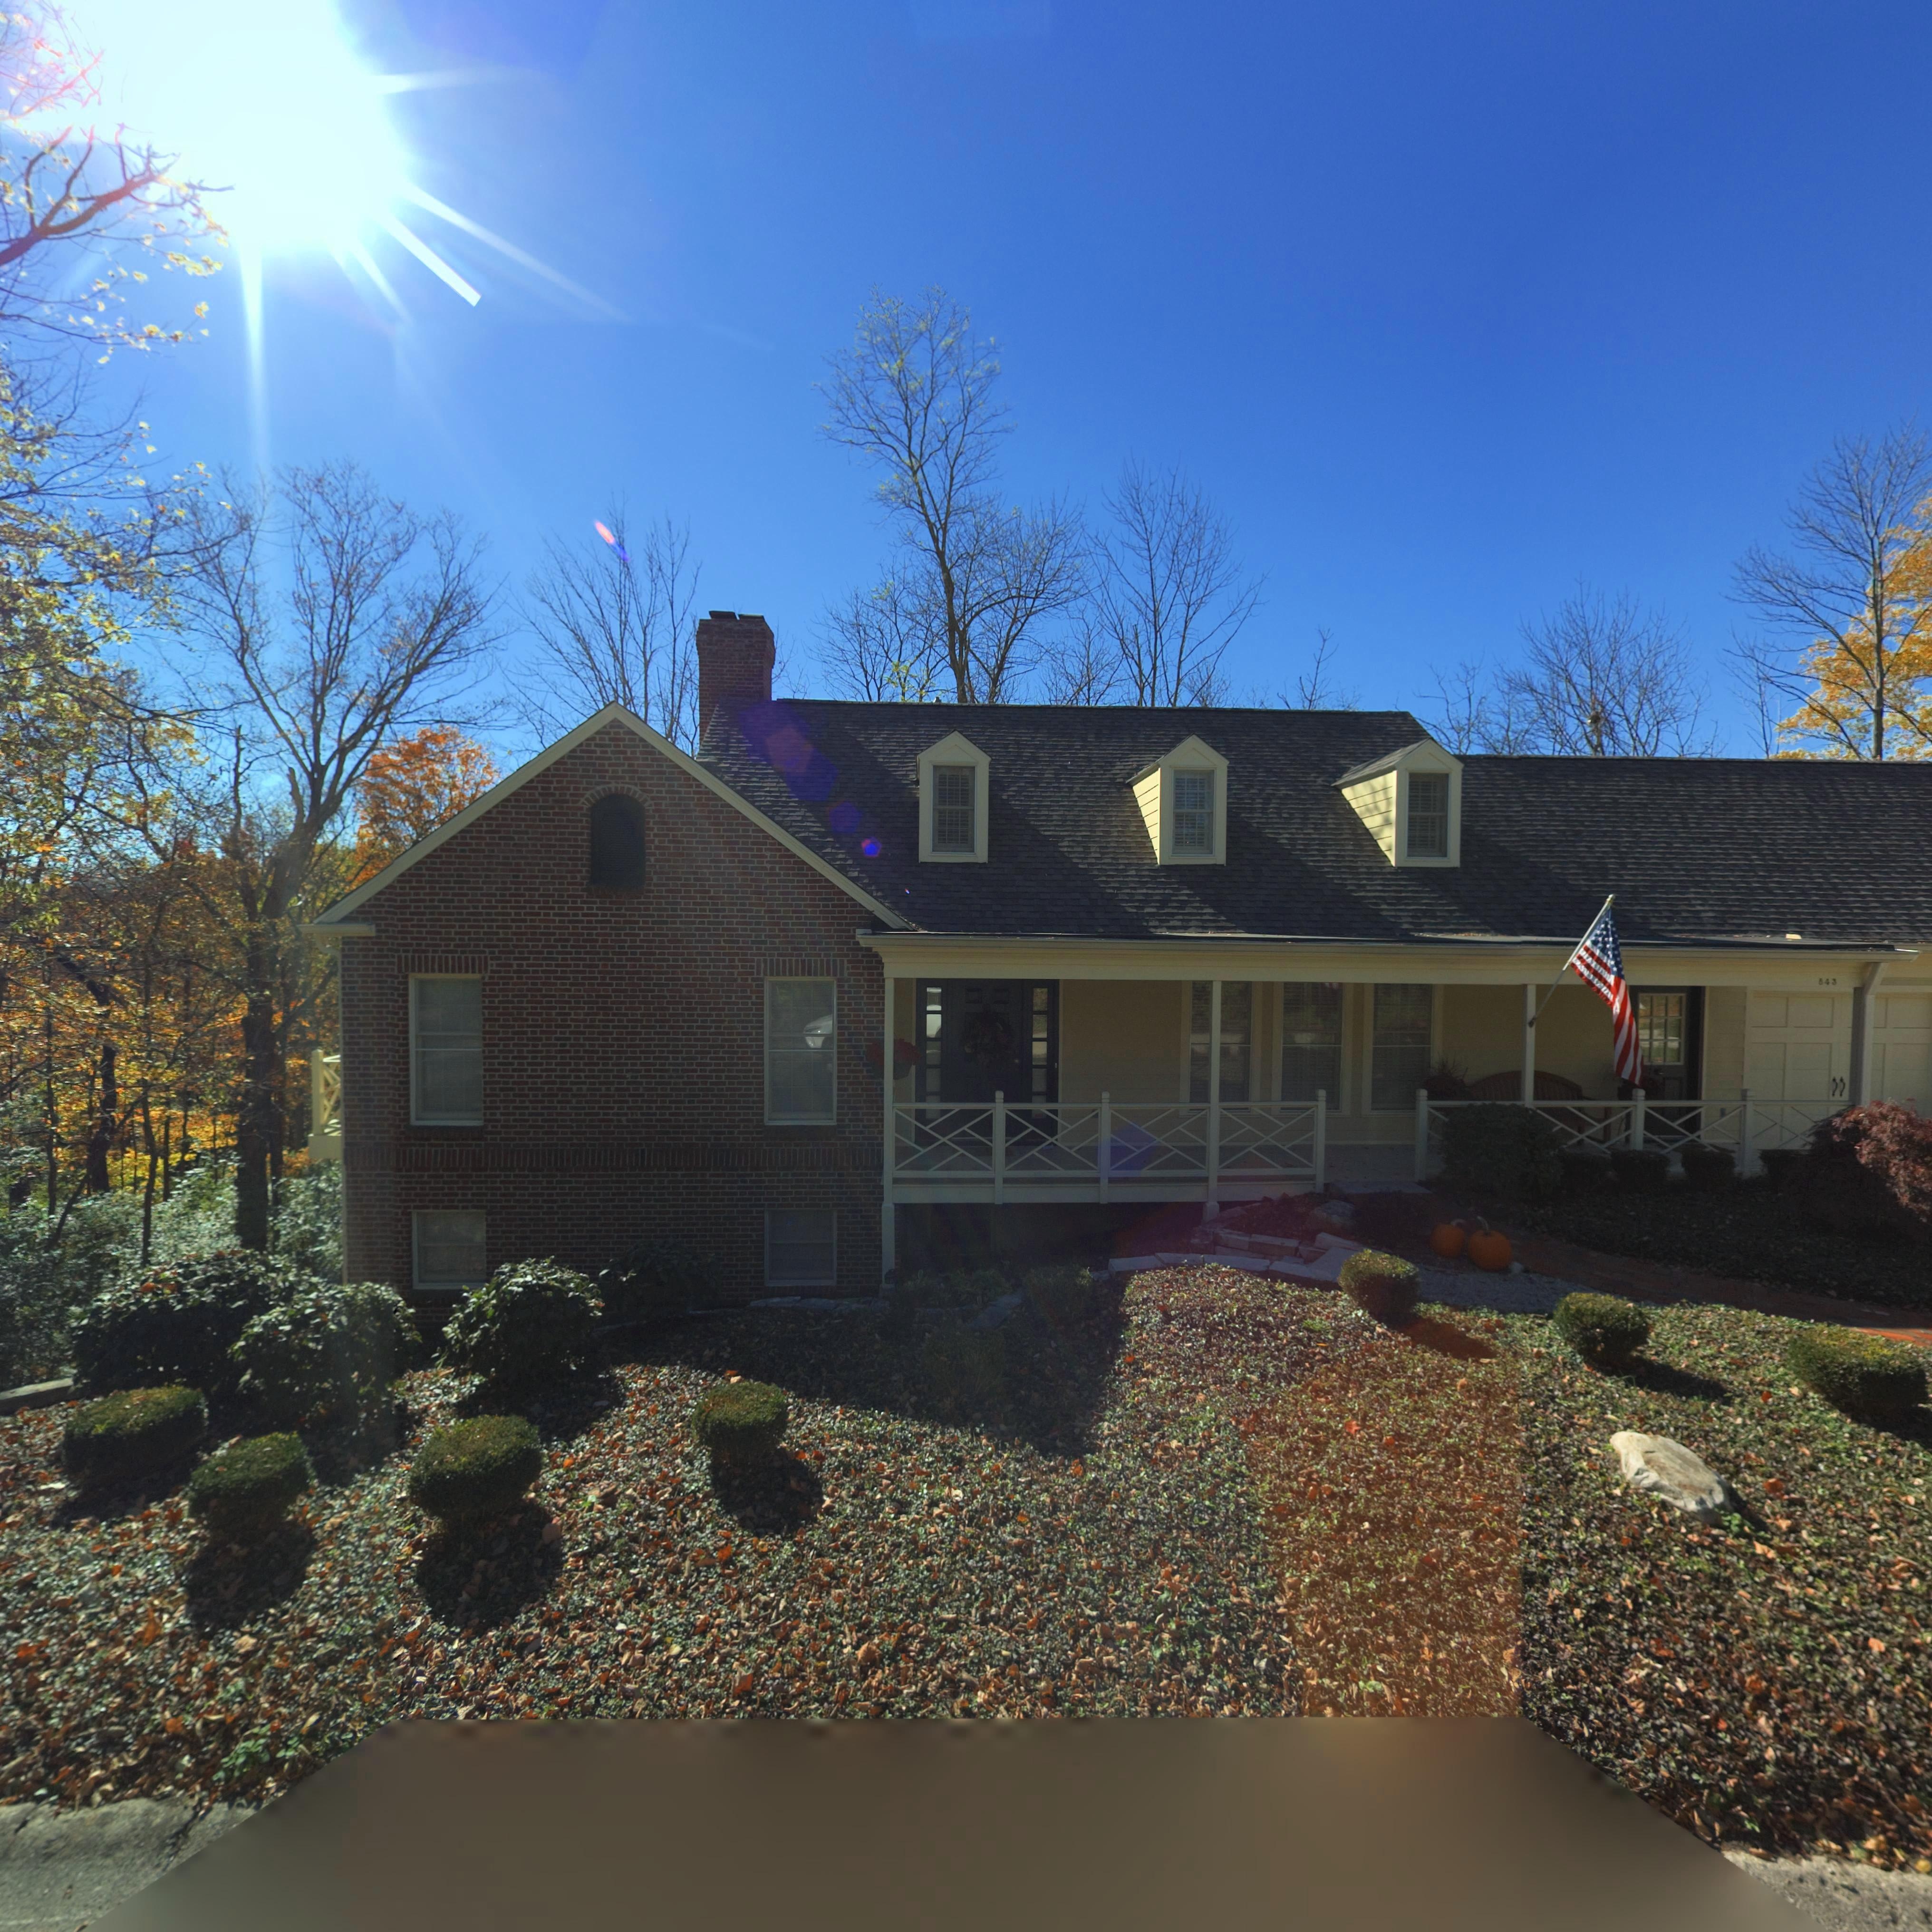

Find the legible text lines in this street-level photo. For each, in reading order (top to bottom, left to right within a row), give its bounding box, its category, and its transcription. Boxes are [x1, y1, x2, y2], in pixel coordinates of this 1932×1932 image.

[1817, 977, 1837, 985] StreetNumber: 843